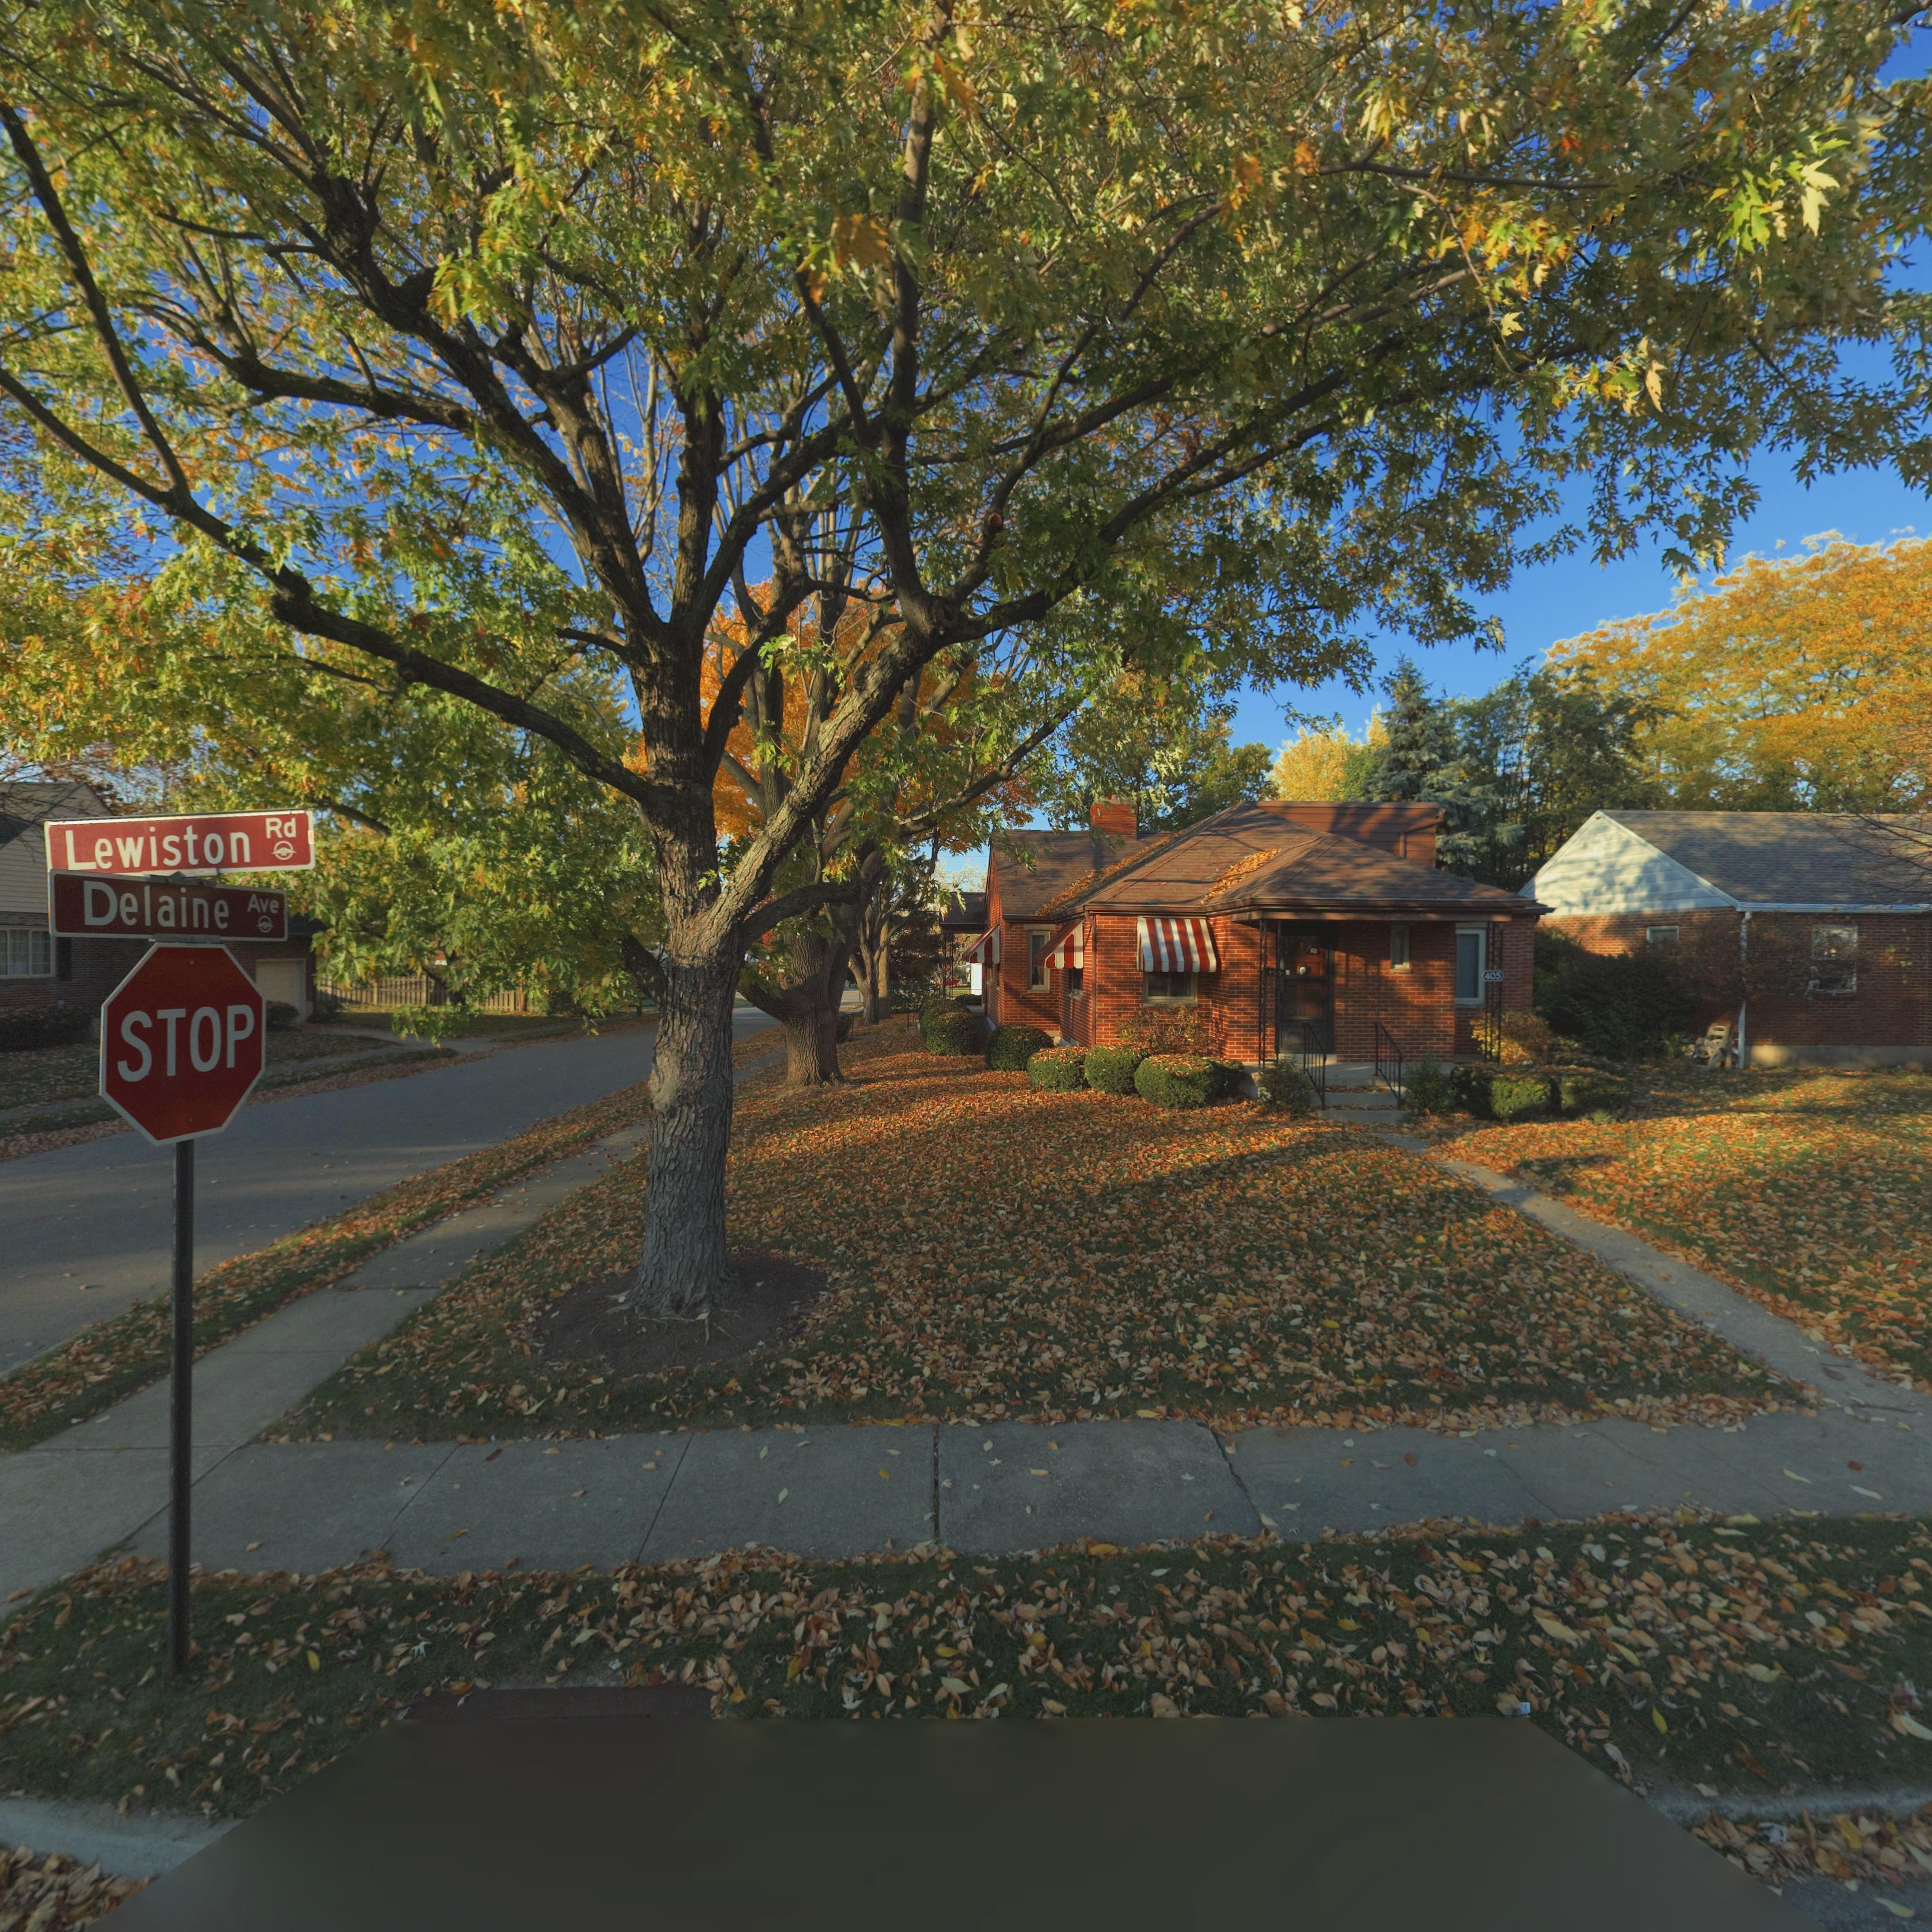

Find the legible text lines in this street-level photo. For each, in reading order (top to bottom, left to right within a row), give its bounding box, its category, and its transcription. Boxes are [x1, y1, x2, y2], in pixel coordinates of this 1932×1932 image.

[62, 814, 299, 873] StreetName: Lewiston Rd
[80, 877, 281, 934] StreetName: Delaine Ave
[1483, 971, 1502, 981] StreetNumber: 405